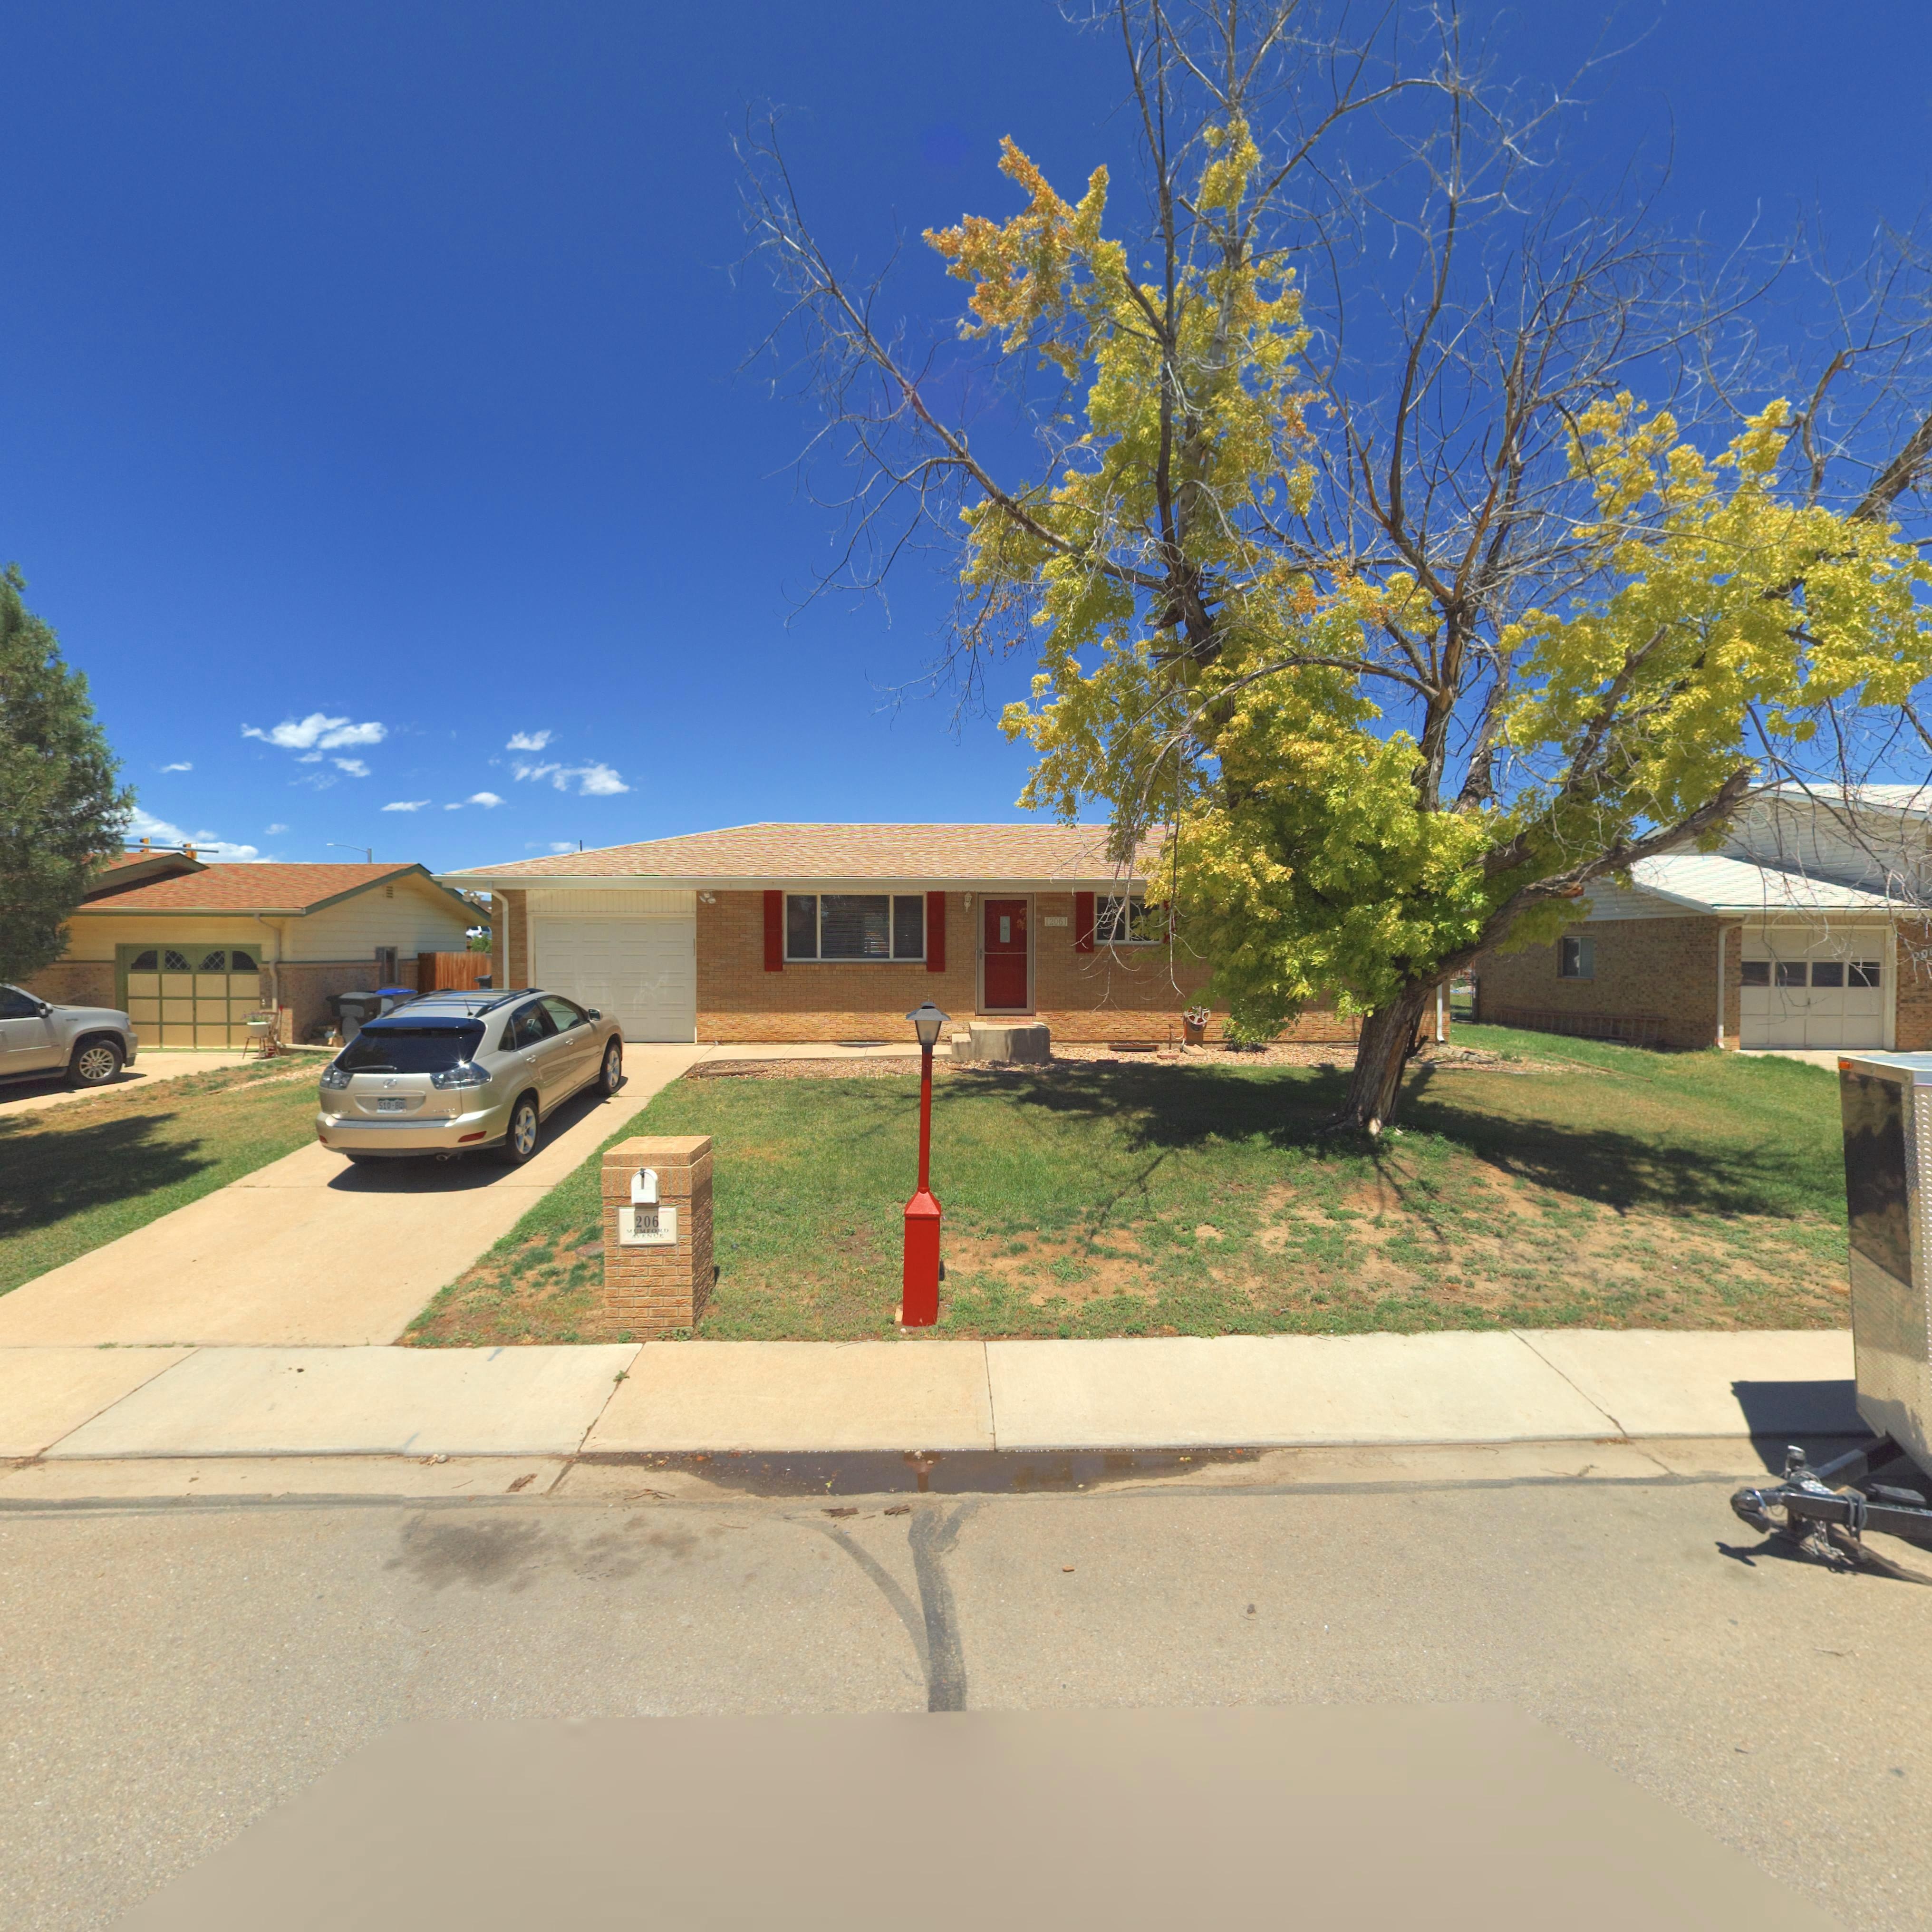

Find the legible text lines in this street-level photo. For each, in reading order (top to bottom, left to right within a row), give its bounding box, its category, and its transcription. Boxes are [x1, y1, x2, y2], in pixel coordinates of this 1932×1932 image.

[1049, 918, 1063, 925] StreetNumber: 206
[635, 1215, 659, 1227] StreetNumber: 206